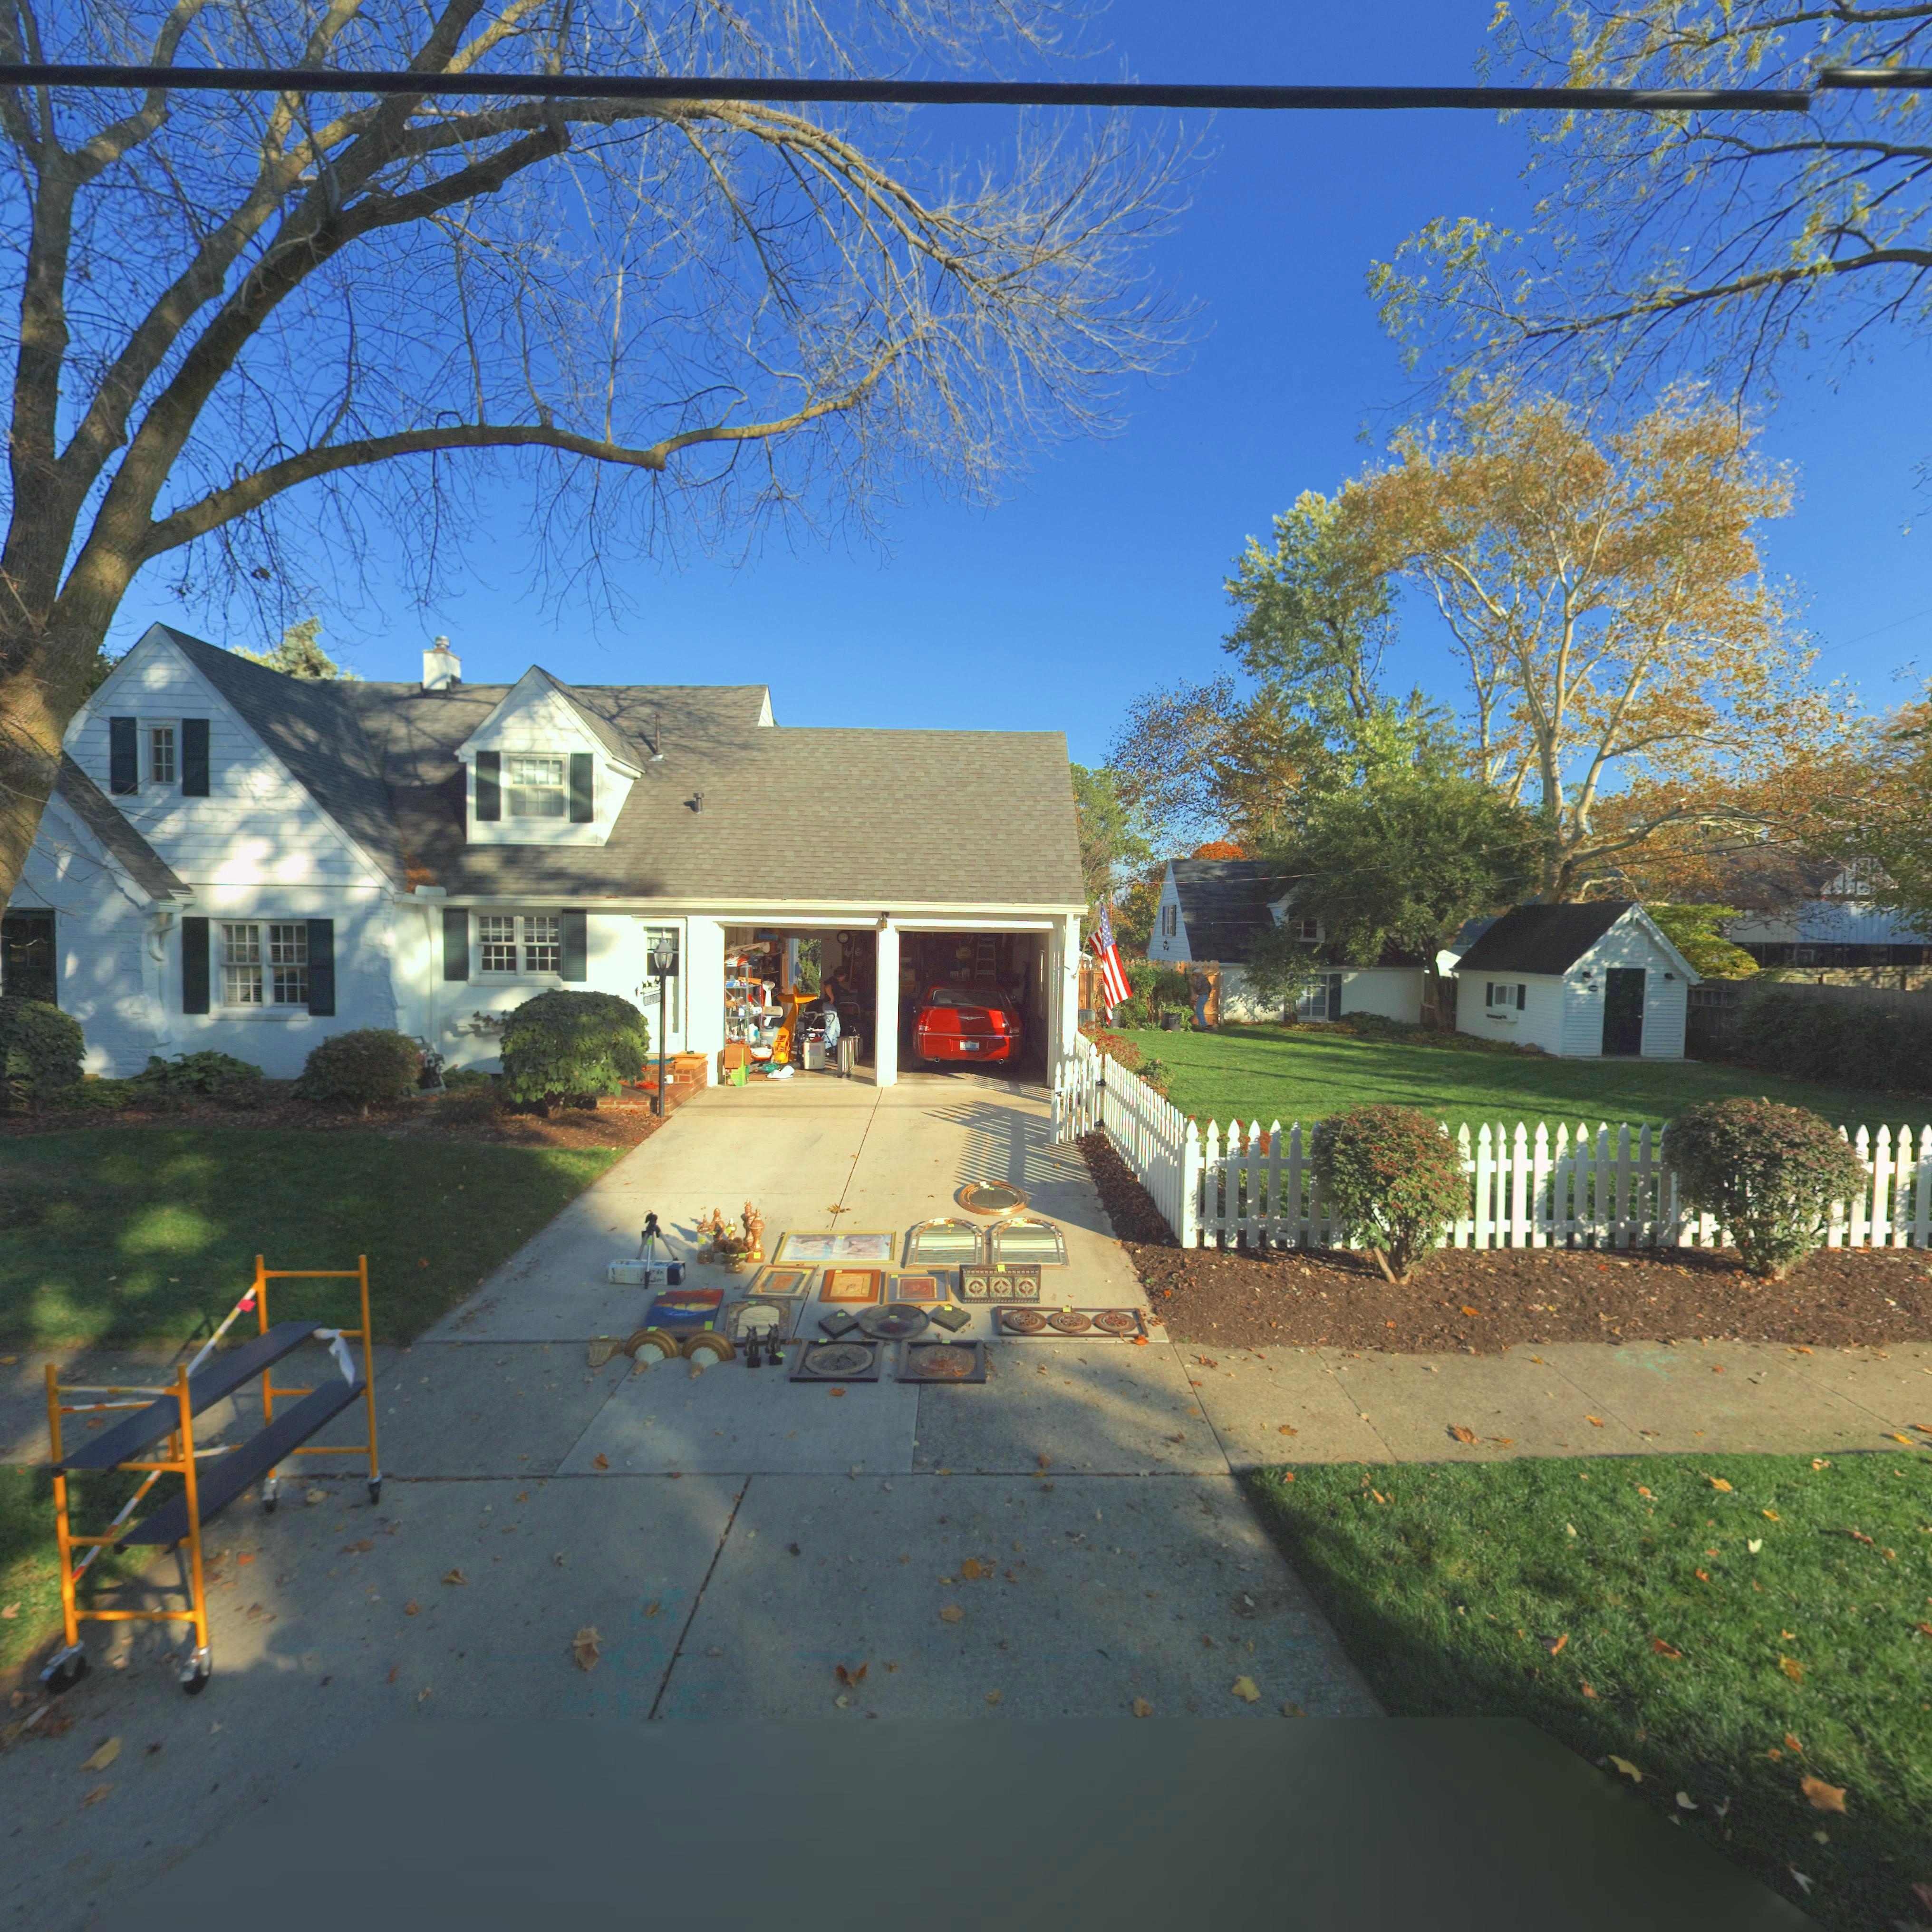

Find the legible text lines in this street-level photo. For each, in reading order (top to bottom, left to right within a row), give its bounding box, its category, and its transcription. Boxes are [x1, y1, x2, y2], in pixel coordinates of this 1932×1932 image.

[646, 994, 658, 1005] StreetNumber: 1200